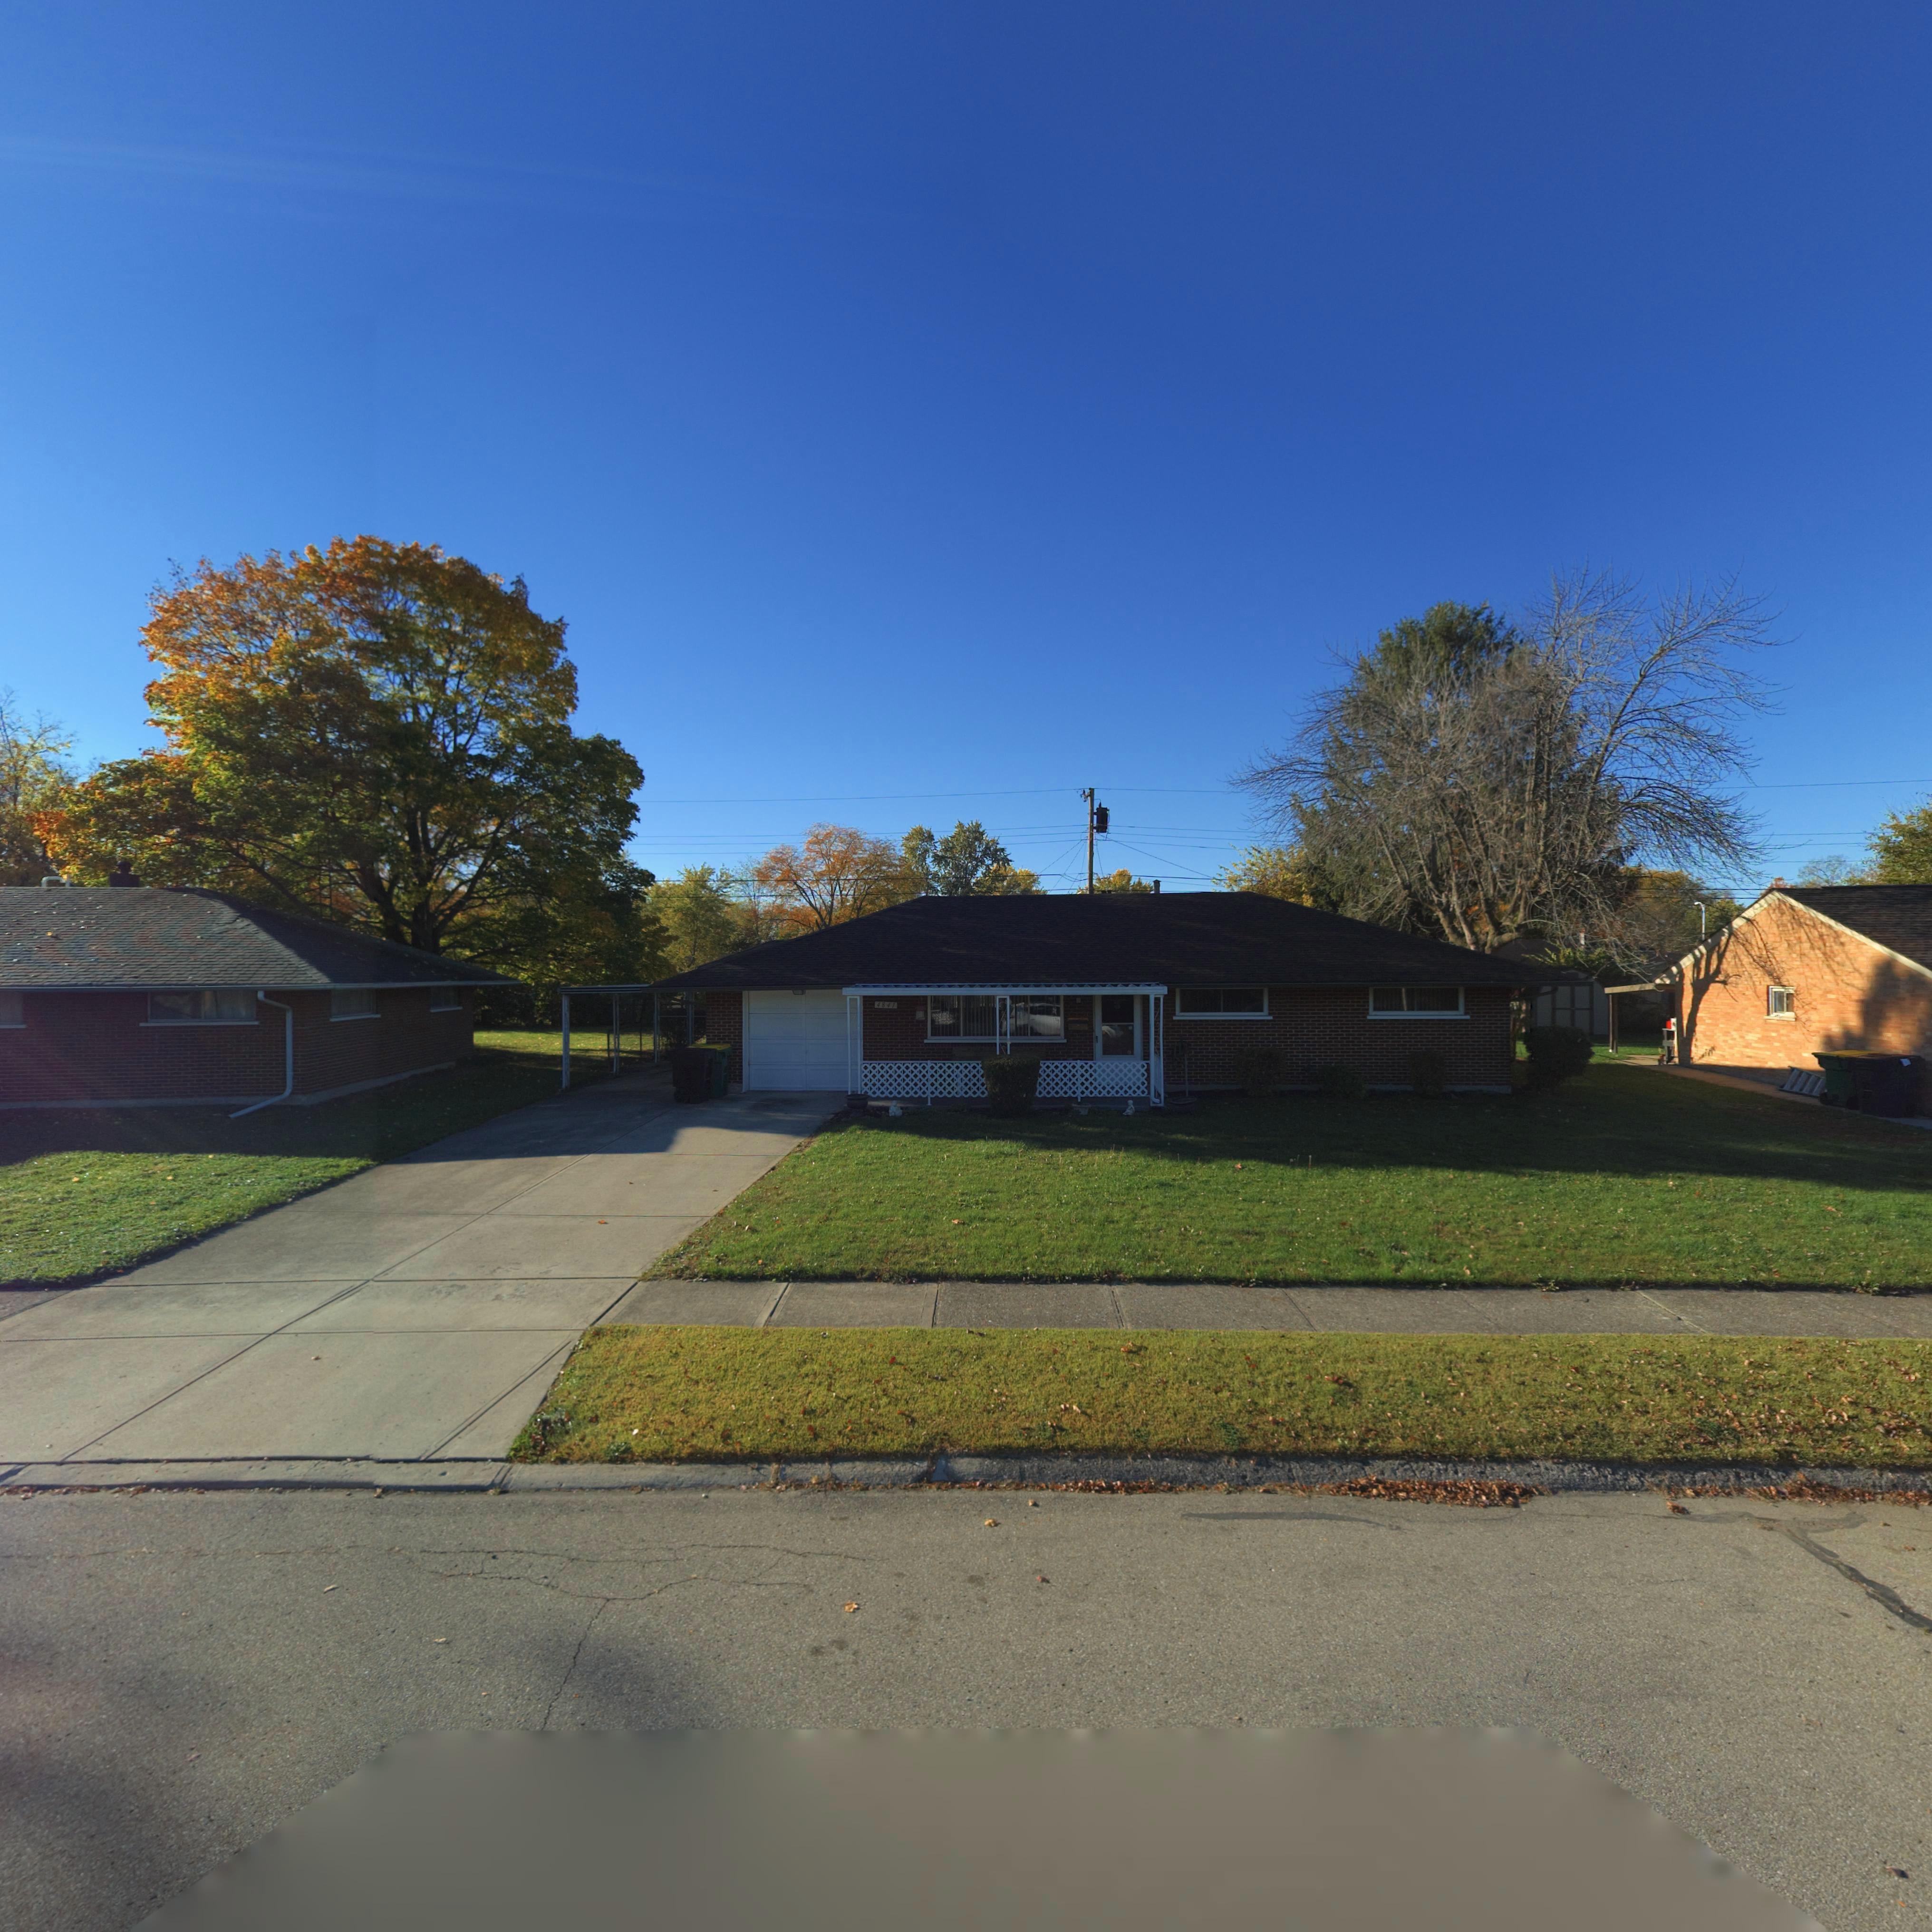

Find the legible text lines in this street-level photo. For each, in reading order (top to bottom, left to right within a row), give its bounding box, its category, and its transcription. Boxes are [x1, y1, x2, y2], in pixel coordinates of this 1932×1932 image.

[876, 1002, 895, 1008] StreetNumber: 4841